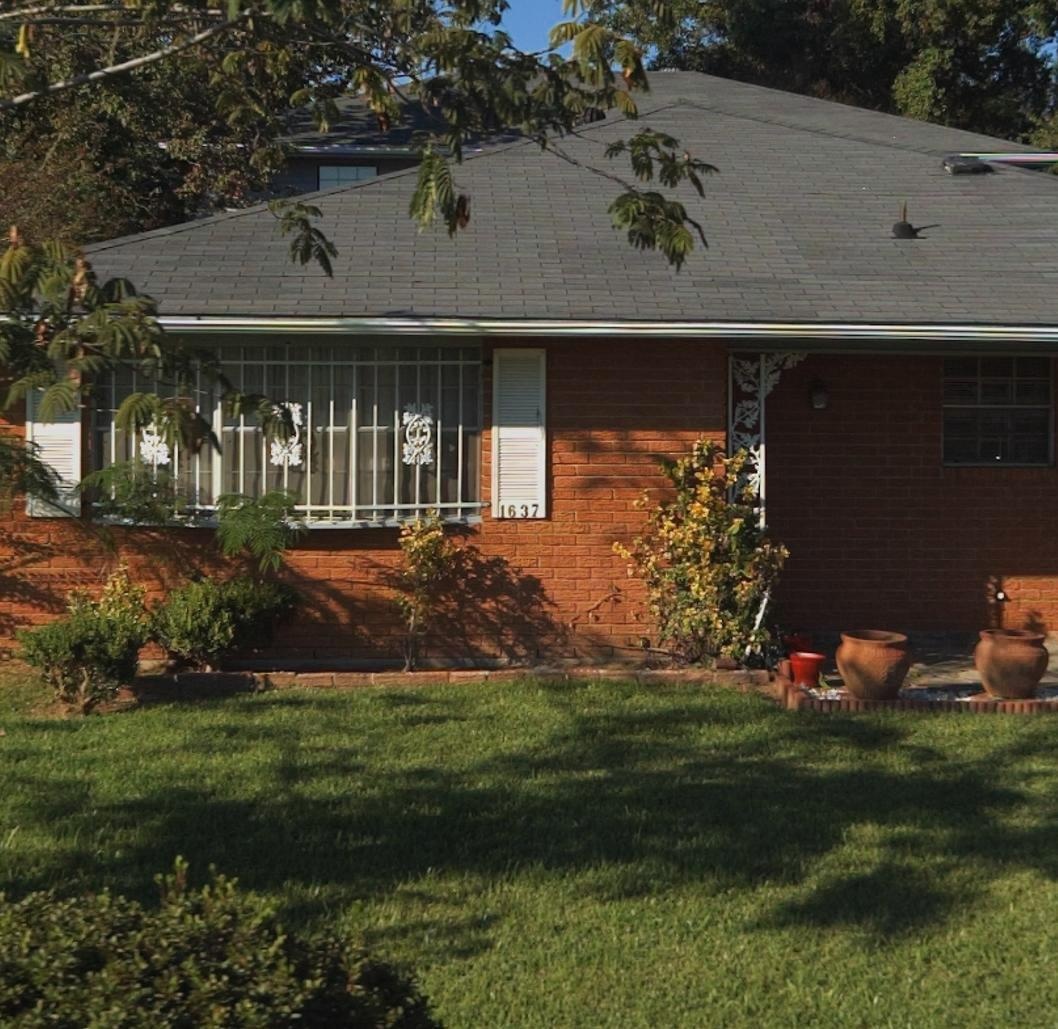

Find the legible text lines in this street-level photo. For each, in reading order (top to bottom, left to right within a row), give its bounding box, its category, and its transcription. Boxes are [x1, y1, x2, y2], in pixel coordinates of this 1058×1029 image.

[500, 503, 540, 519] StreetNumber: 1637